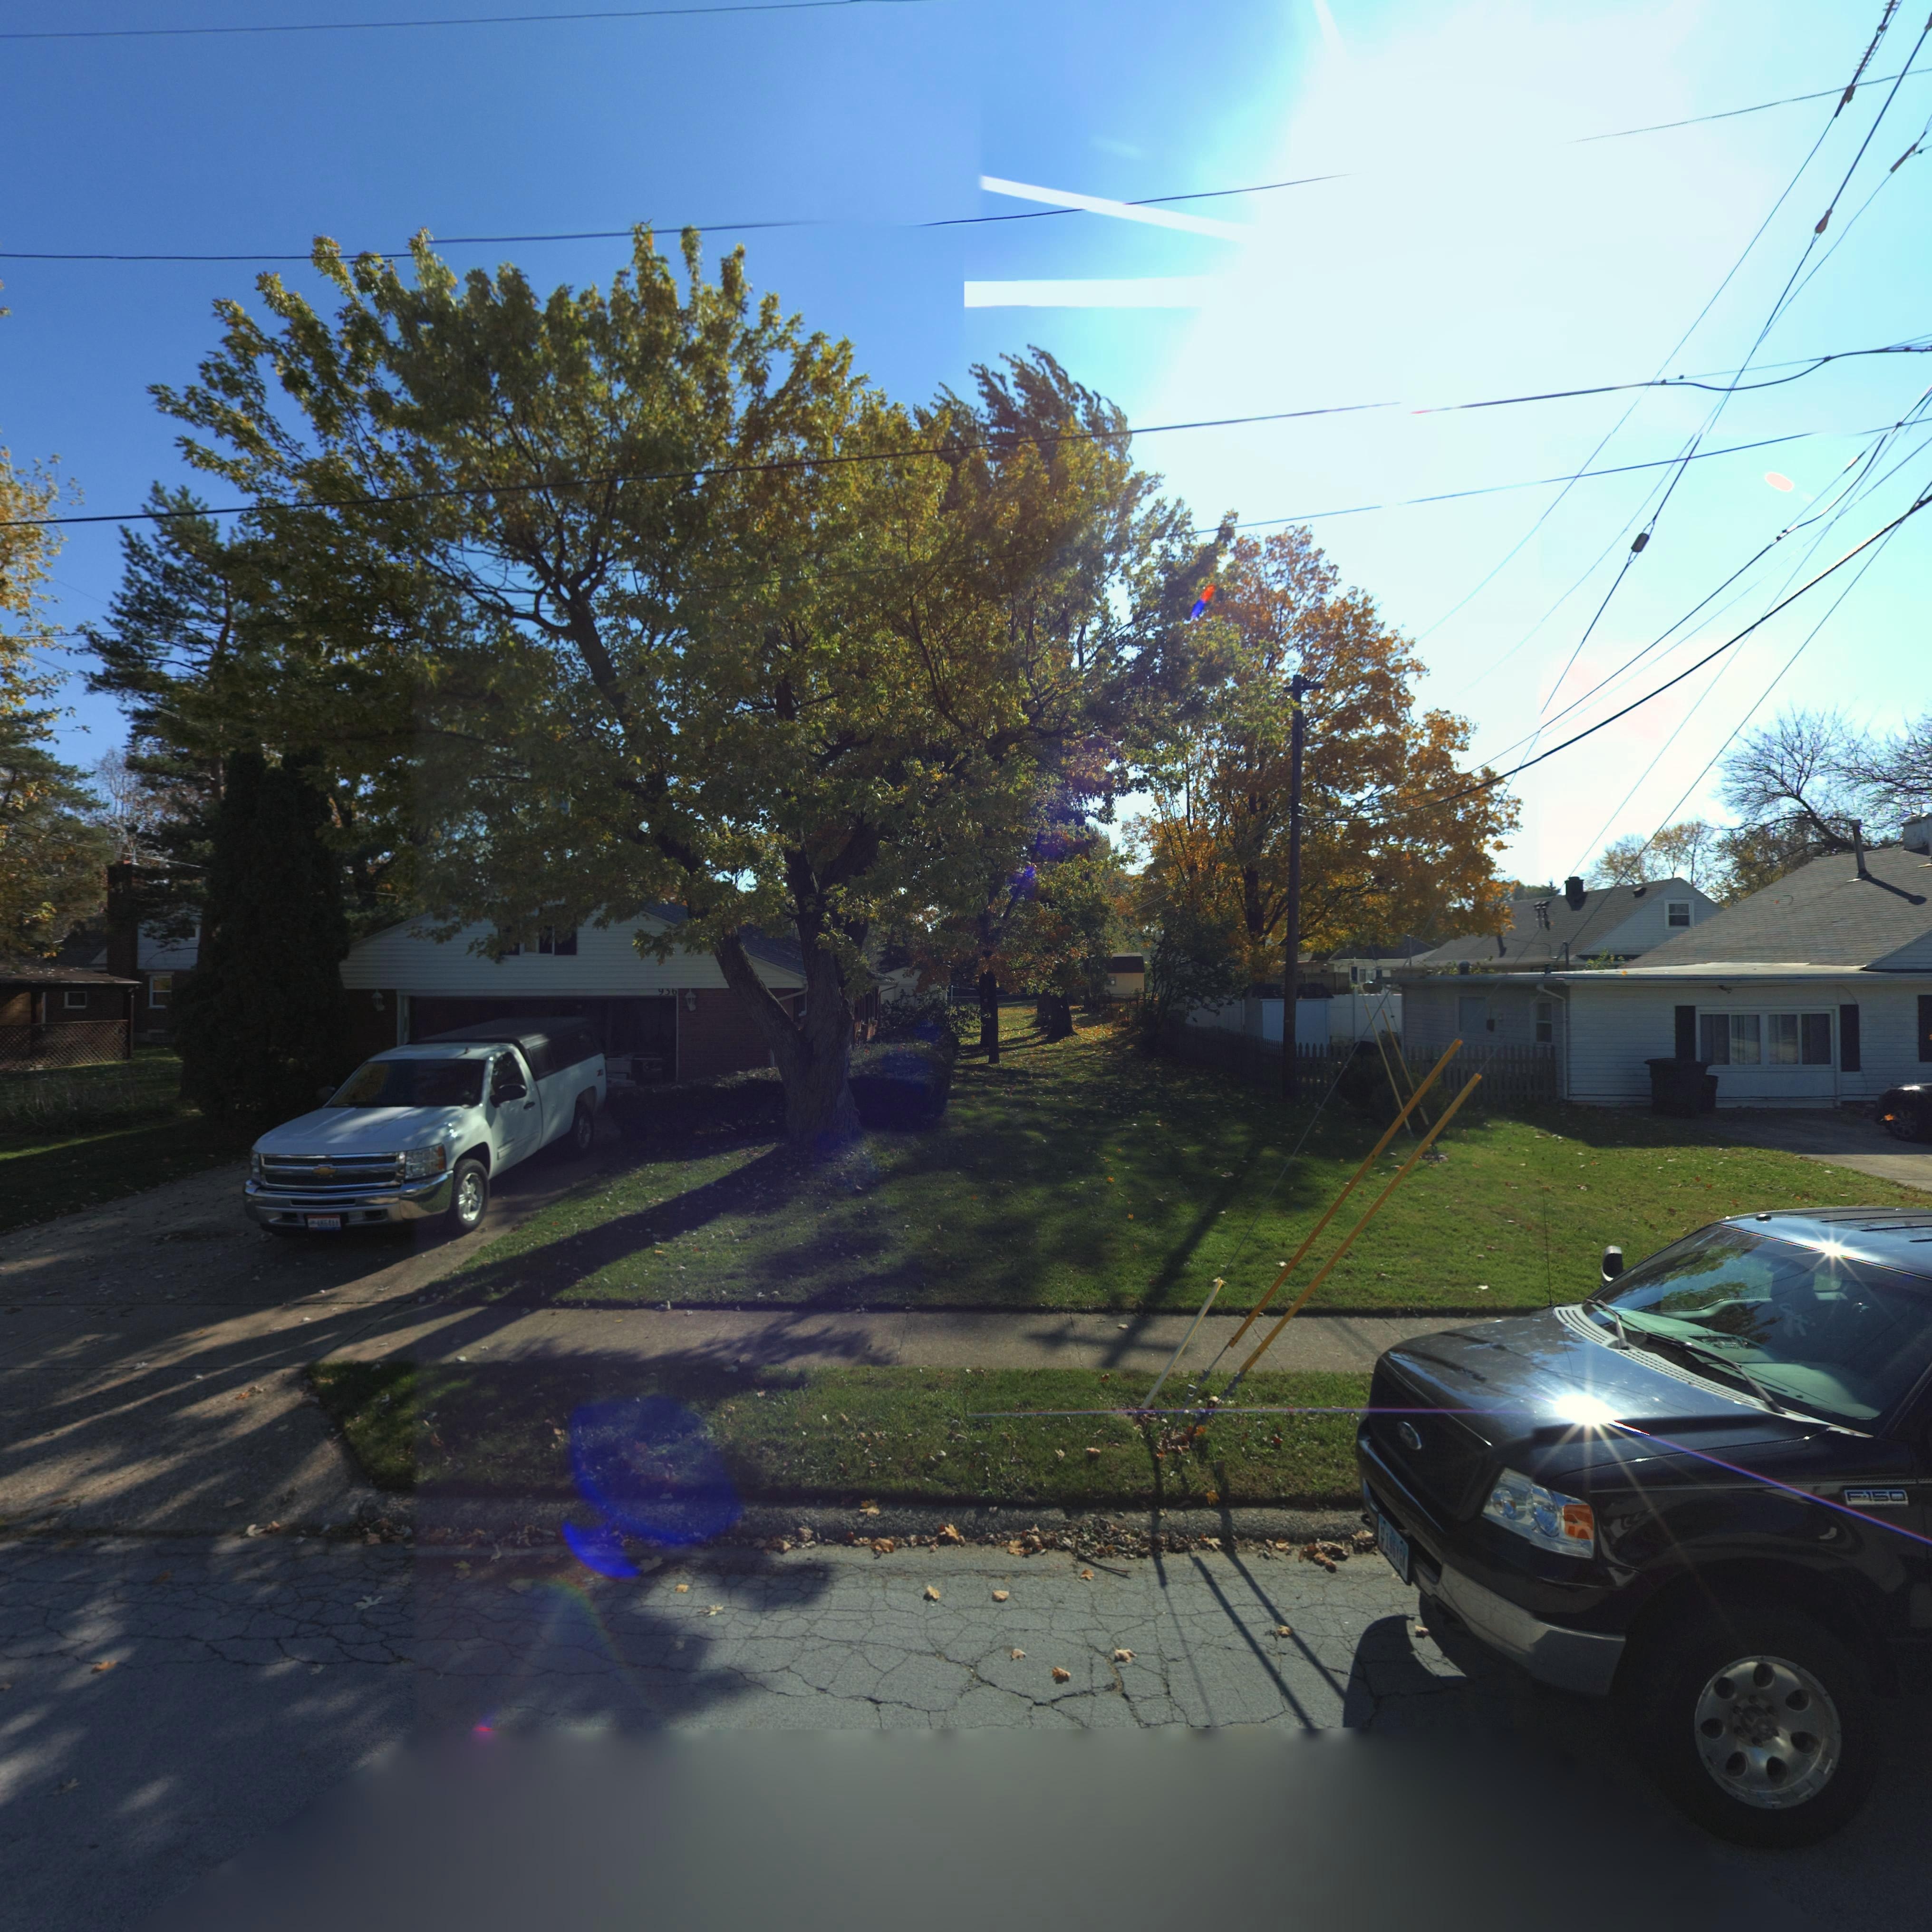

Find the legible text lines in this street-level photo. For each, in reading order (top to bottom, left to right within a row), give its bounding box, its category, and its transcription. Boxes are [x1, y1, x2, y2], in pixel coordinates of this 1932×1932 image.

[657, 988, 677, 995] StreetNumber: **6
[597, 1069, 604, 1077] None: z**
[317, 1219, 340, 1227] None: AK64AA
[1846, 1490, 1906, 1502] None: F-150
[1384, 1531, 1408, 1573] None: 196*6*